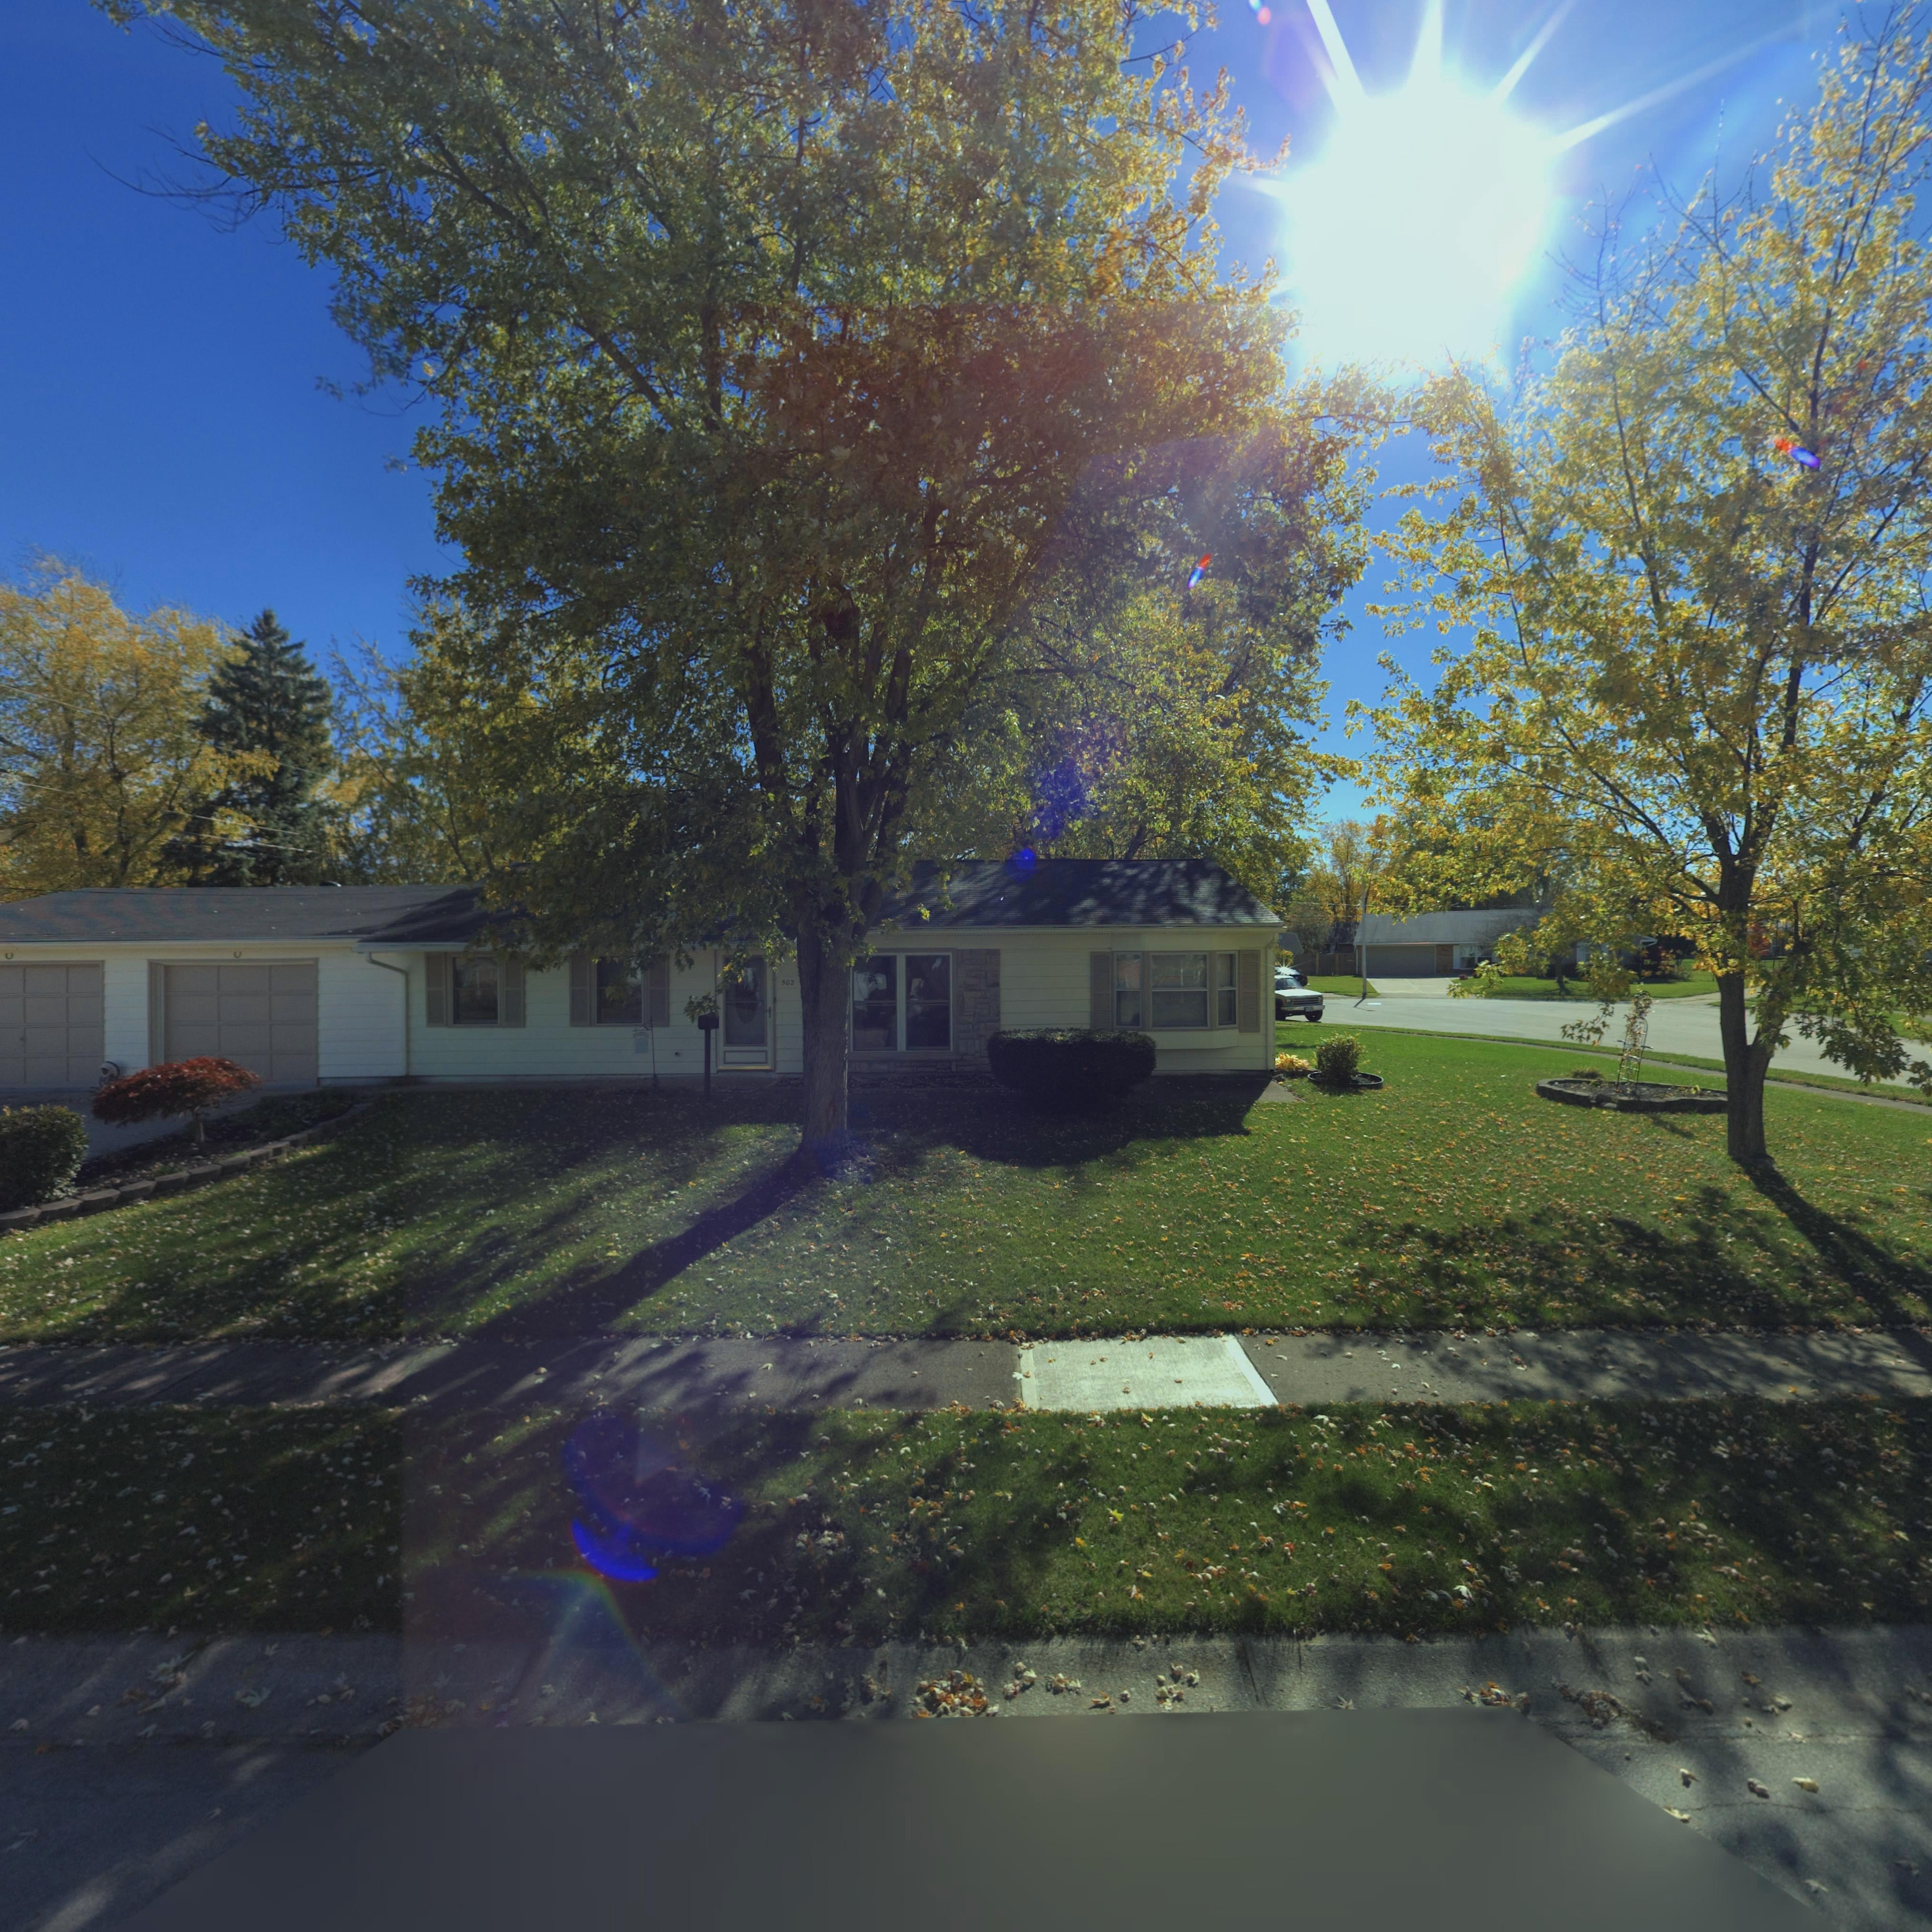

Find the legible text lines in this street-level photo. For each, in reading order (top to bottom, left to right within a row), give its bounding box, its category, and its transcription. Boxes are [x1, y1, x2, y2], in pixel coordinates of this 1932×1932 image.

[781, 979, 795, 985] StreetNumber: 502